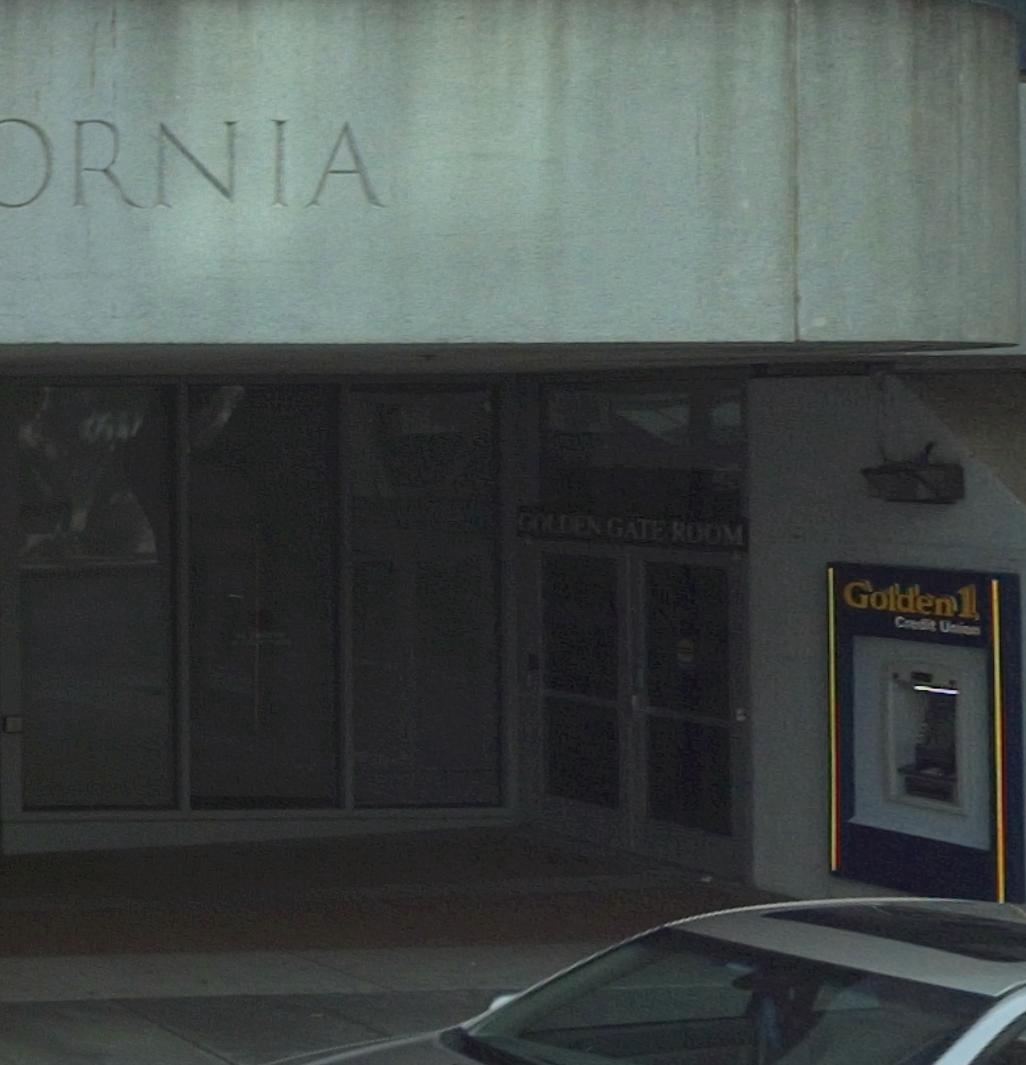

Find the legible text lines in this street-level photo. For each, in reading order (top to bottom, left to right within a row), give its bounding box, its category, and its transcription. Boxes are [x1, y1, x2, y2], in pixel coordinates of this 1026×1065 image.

[60, 110, 400, 217] None: RNIA
[513, 507, 748, 549] BusinessName: GOLDEN GATE ROOM
[841, 579, 982, 622] BusinessName: Golden1
[890, 613, 983, 638] None: Credit Union